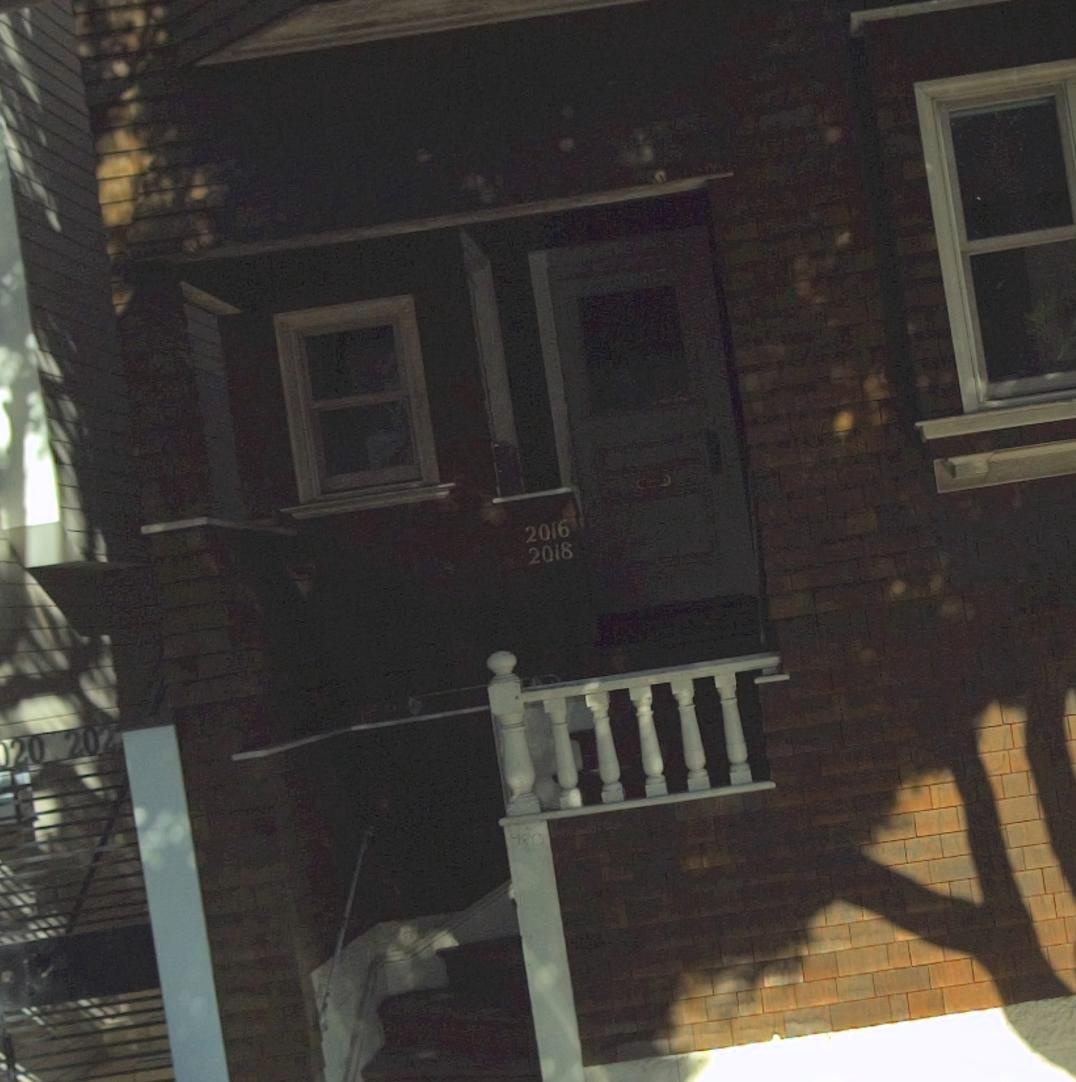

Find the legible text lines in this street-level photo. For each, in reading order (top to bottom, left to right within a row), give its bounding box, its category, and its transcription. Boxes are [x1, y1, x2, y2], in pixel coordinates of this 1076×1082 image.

[523, 517, 572, 545] StreetNumber: 2016
[526, 539, 574, 567] StreetNumber: 2018
[8, 734, 48, 770] StreetNumber: 20
[62, 722, 120, 762] StreetNumber: 202